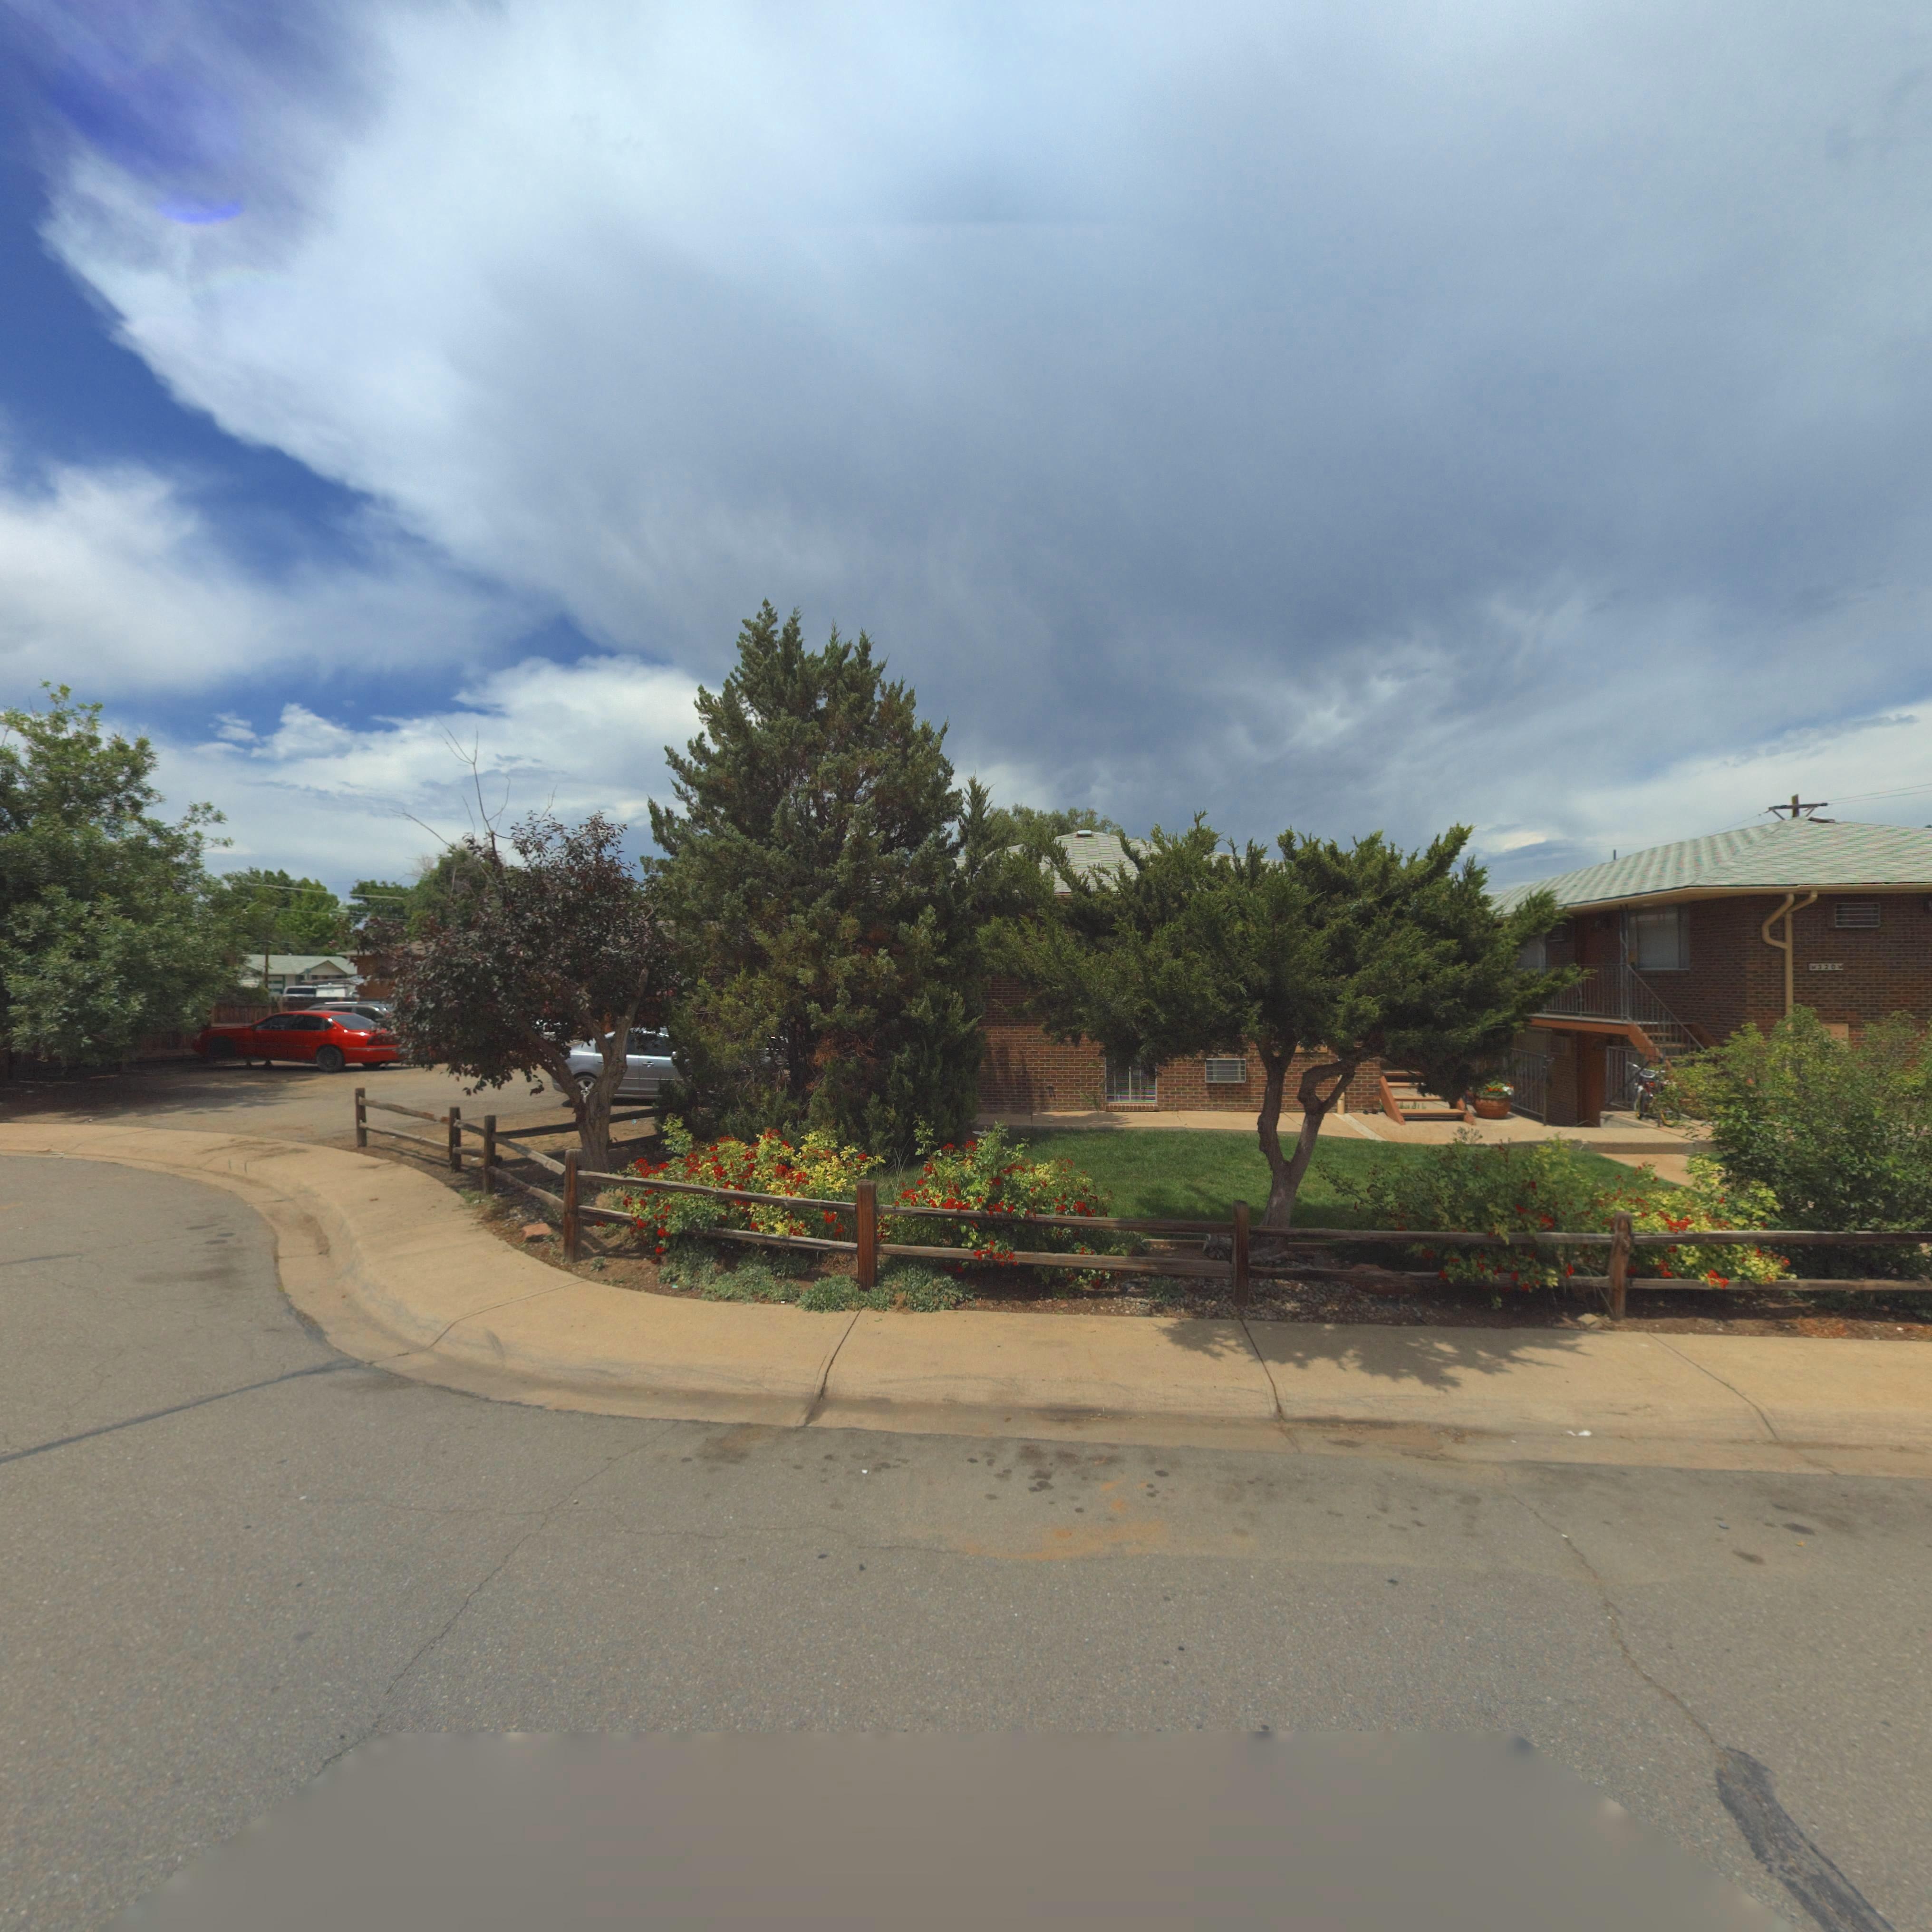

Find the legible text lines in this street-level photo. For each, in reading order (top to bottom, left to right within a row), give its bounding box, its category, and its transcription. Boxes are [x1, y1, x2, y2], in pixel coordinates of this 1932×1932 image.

[1817, 964, 1835, 969] StreetNumber: 320